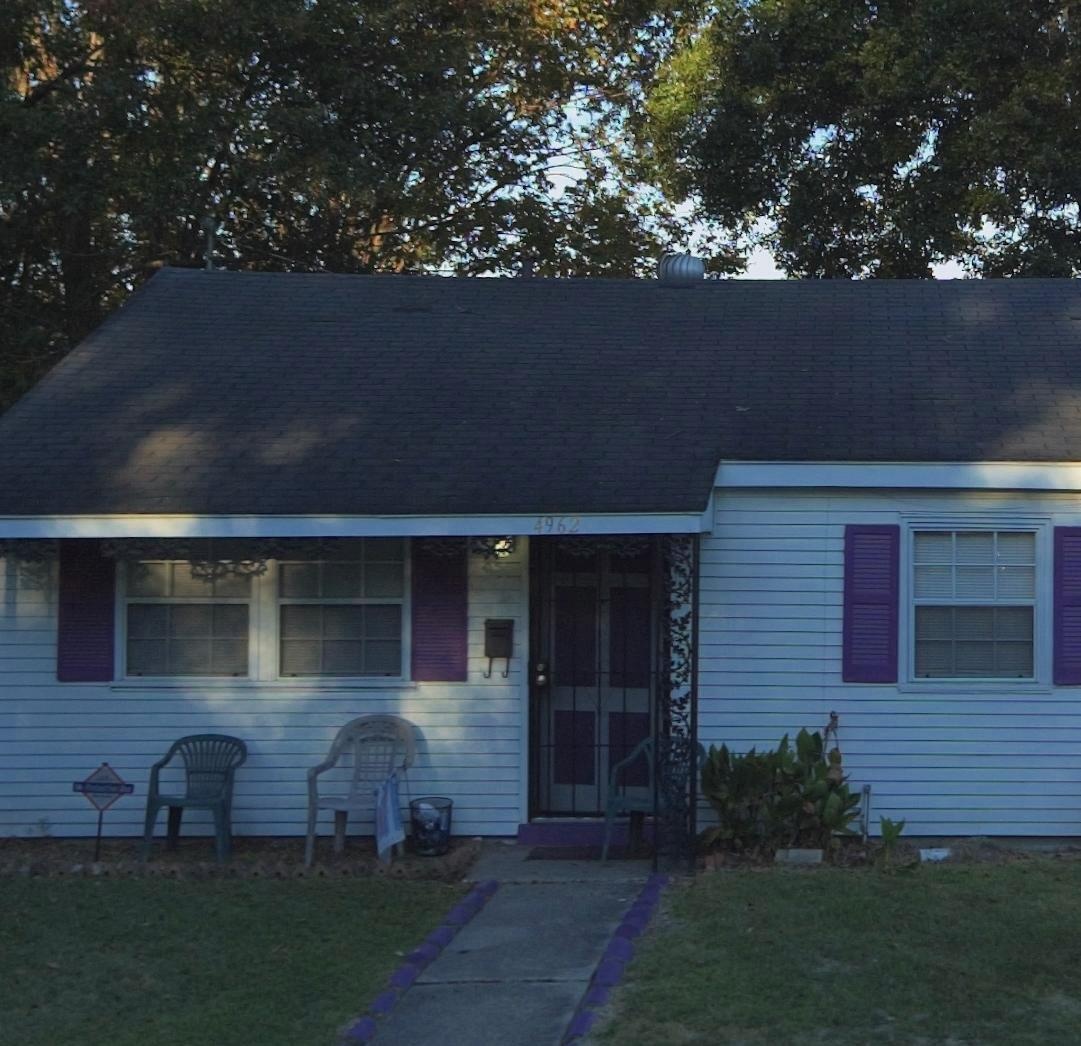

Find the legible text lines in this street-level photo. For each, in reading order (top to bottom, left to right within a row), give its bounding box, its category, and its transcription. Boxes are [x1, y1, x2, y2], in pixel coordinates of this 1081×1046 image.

[534, 517, 581, 534] StreetNumber: 4962